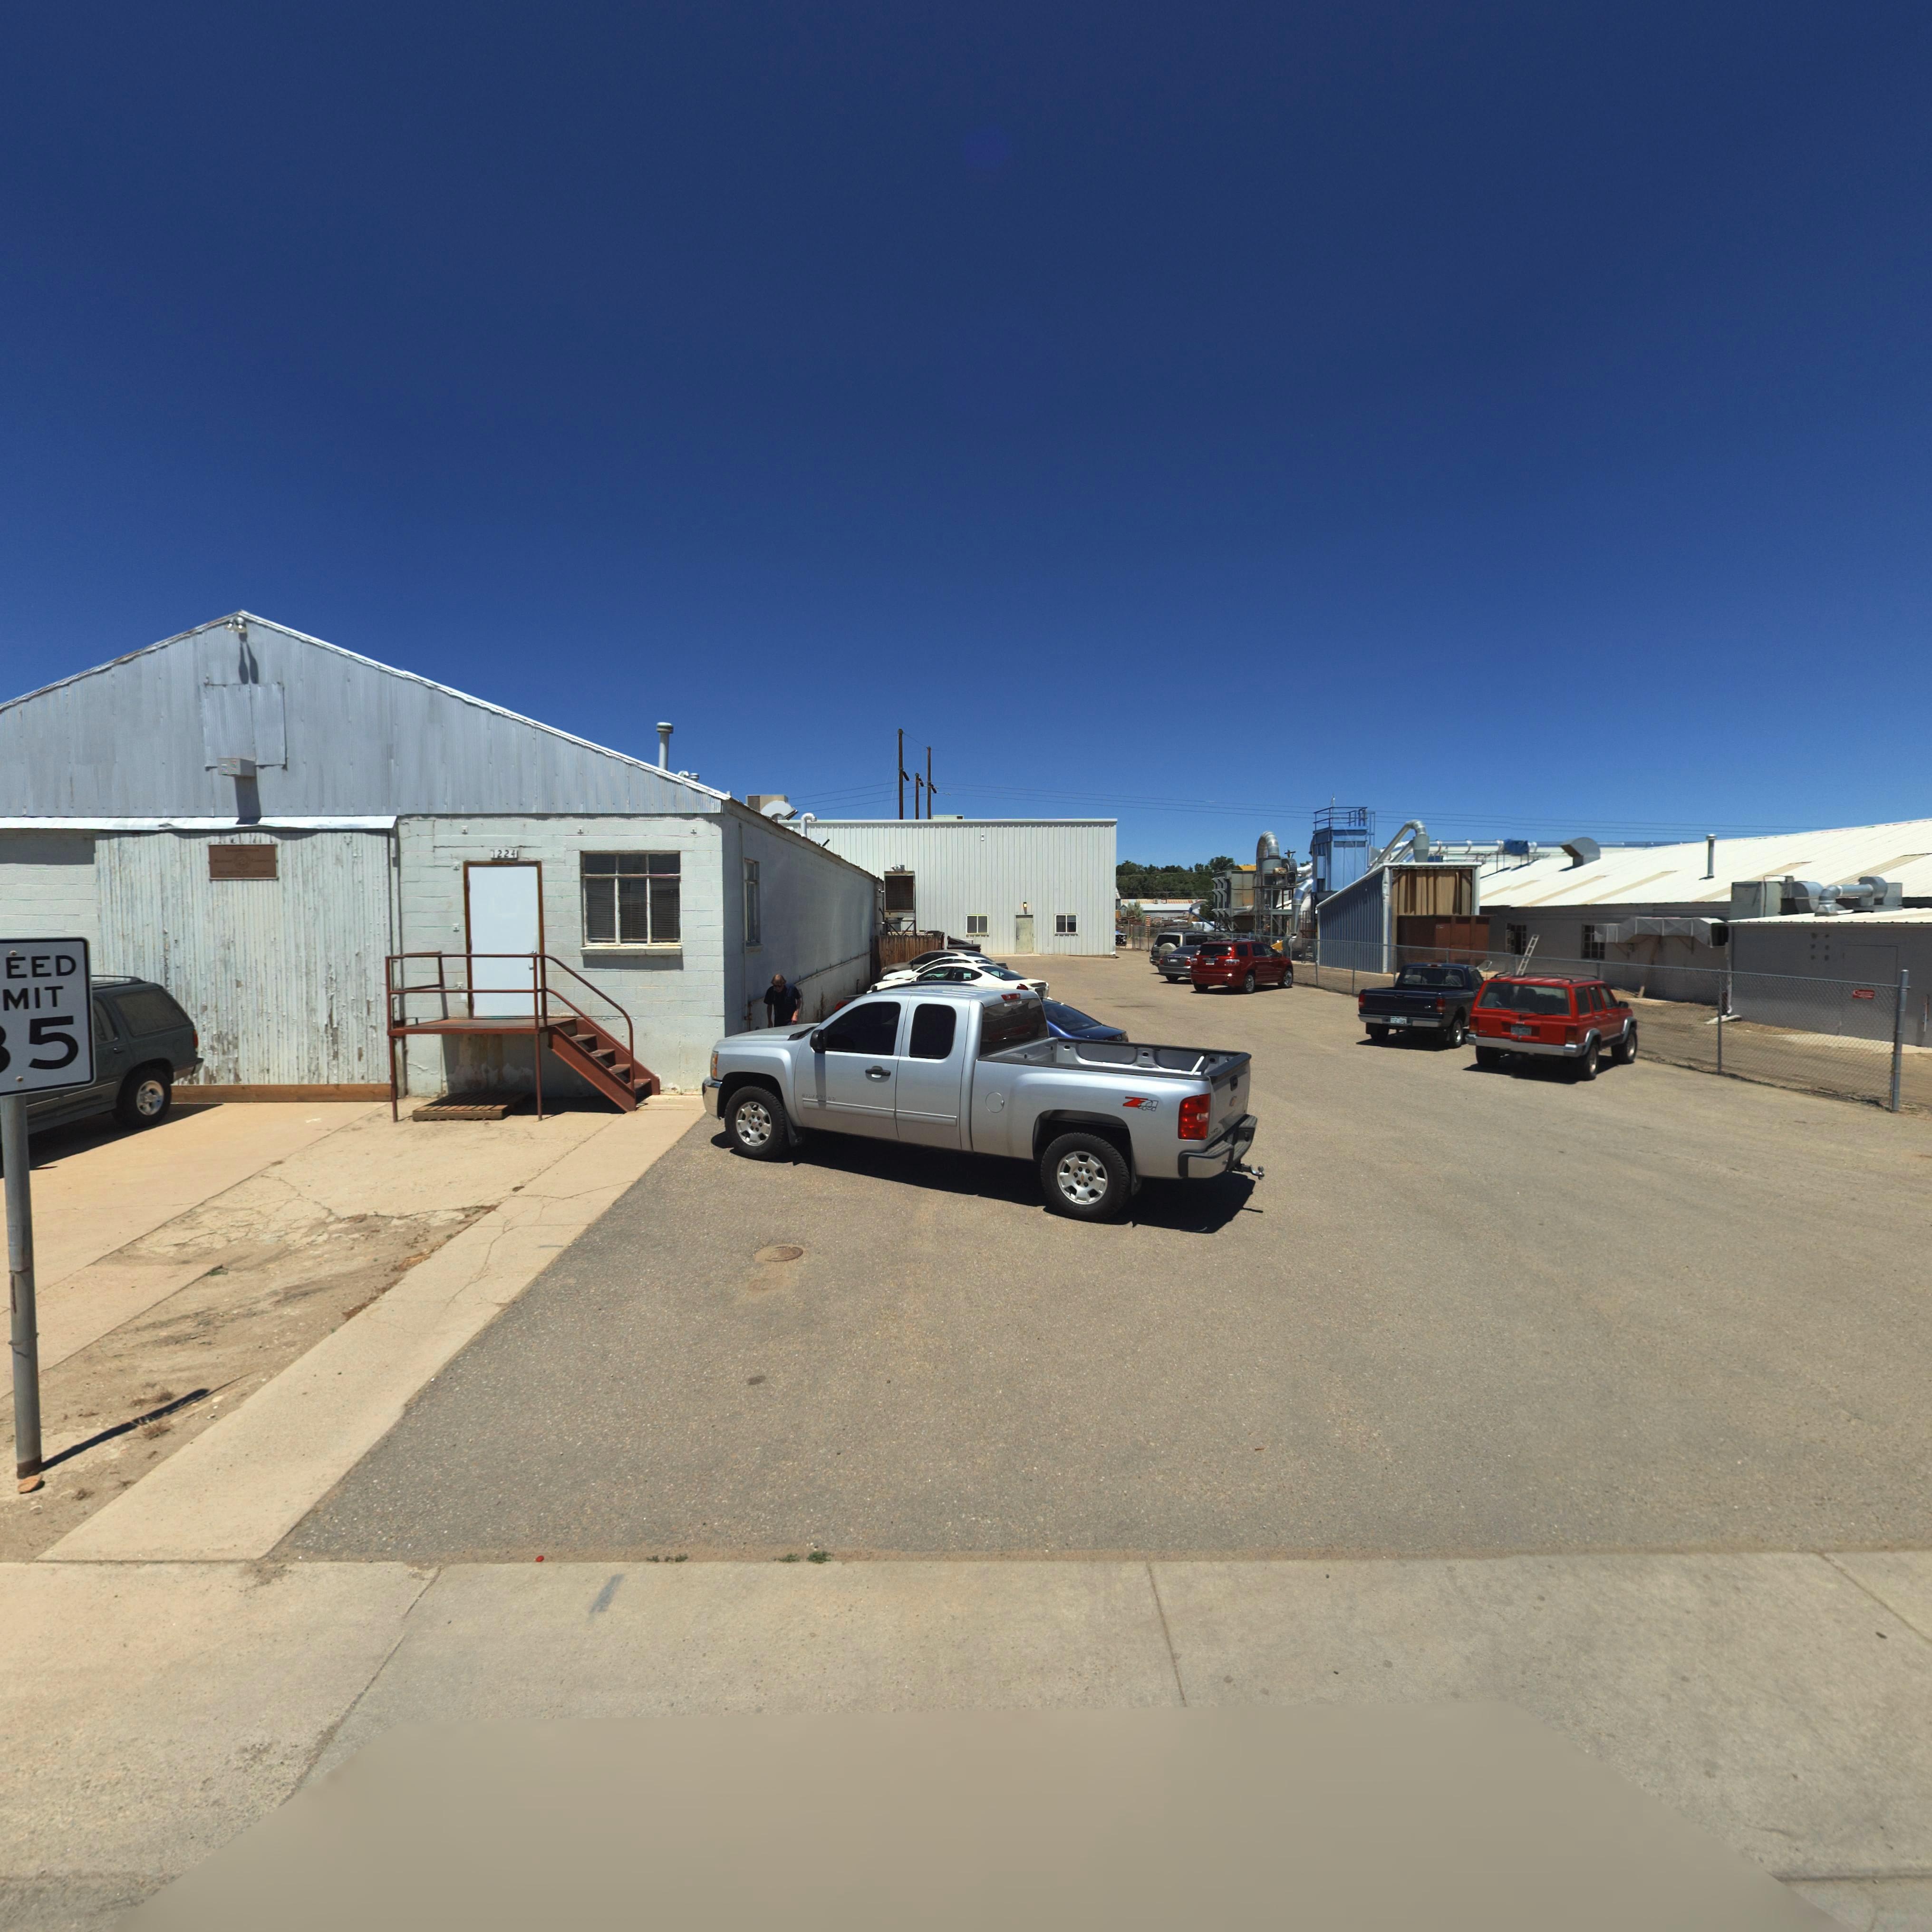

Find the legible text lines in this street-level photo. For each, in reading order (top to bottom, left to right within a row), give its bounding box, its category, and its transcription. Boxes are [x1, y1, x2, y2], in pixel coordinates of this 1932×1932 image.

[492, 850, 515, 858] StreetNumber: 1224